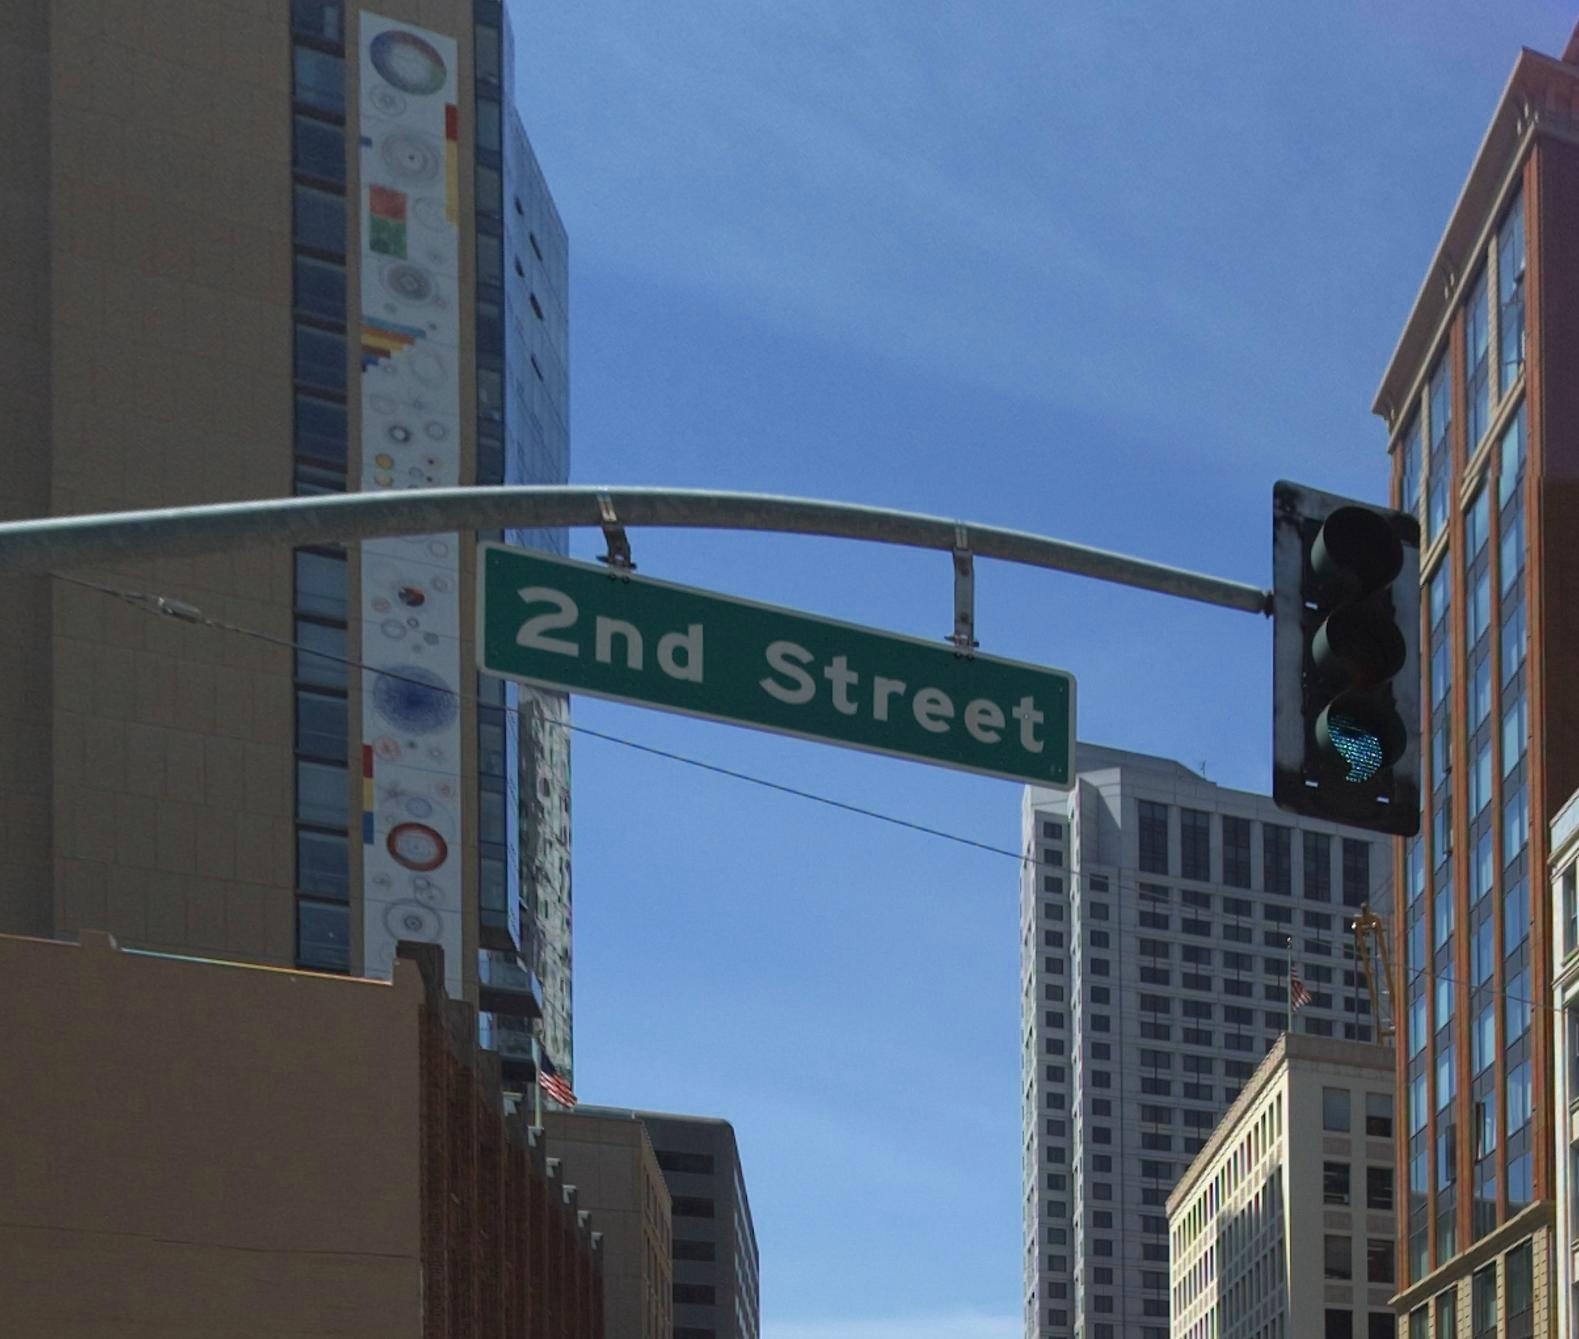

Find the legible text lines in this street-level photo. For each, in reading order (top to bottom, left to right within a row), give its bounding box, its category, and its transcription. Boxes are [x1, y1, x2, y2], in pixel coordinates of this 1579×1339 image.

[510, 576, 1052, 758] StreetName: 2nd Street